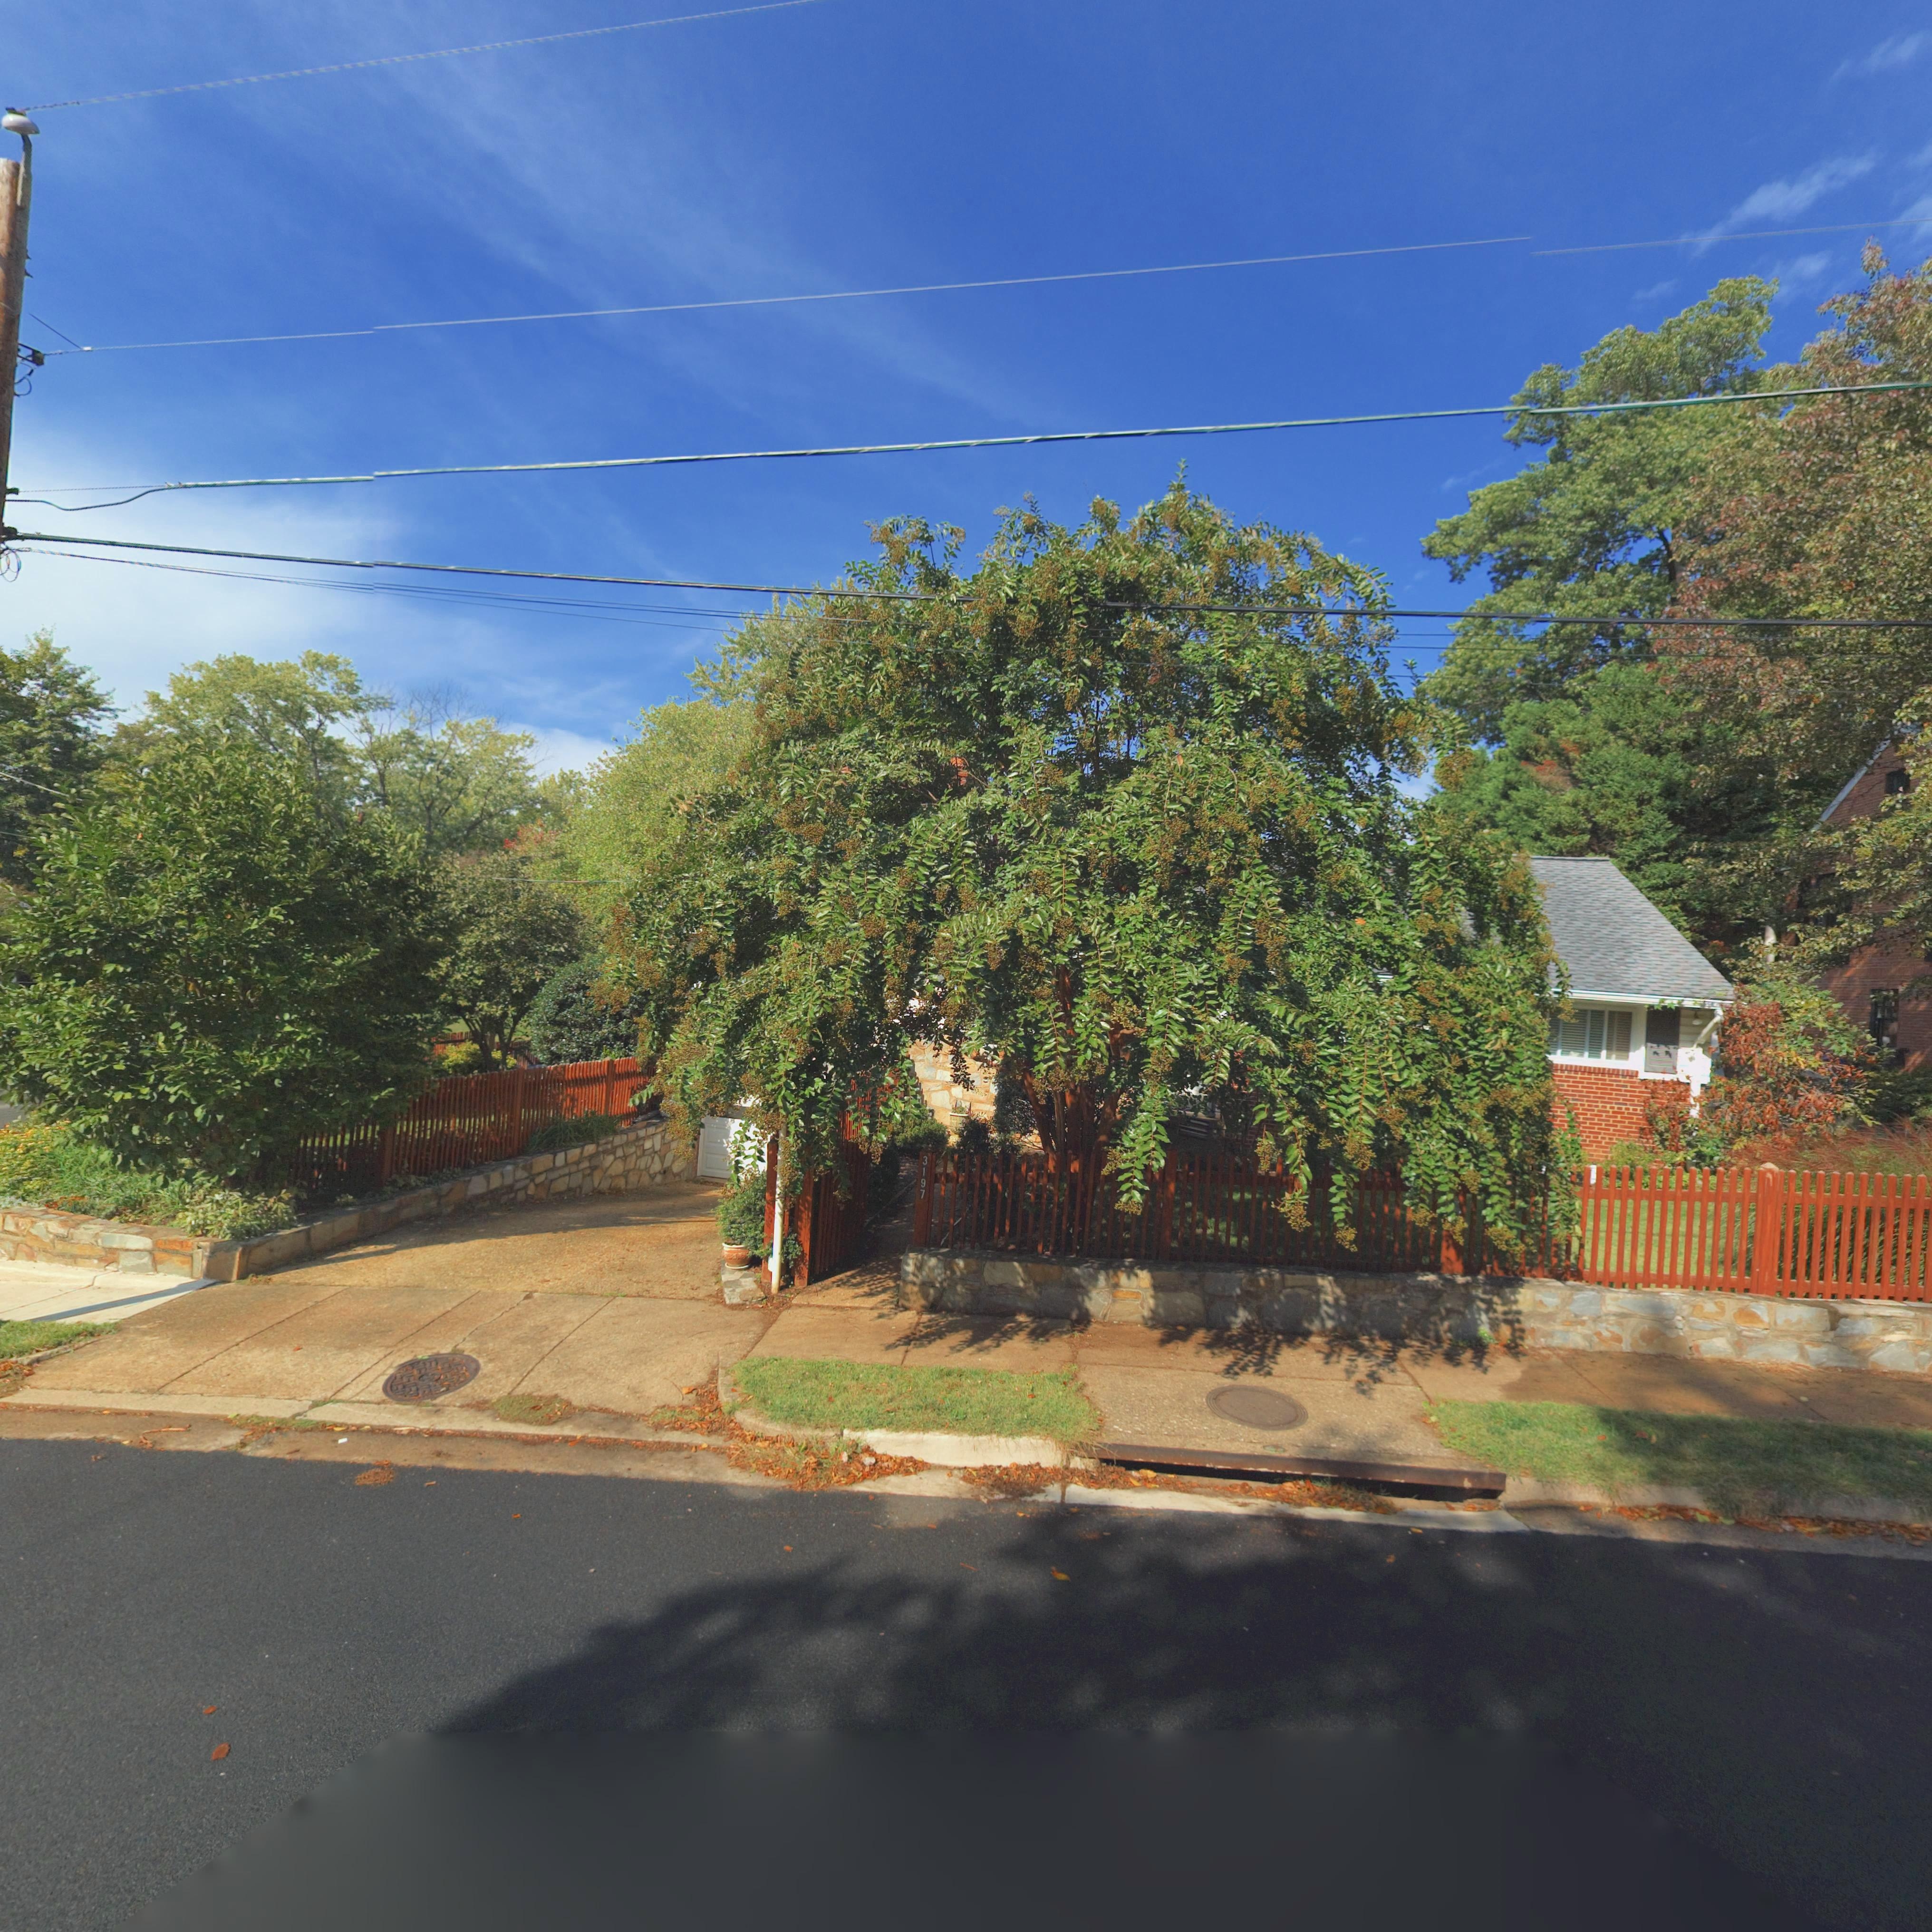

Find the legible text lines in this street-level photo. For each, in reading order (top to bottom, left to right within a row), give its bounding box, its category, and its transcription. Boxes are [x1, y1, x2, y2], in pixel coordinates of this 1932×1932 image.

[918, 1155, 929, 1200] StreetNumber: 3197